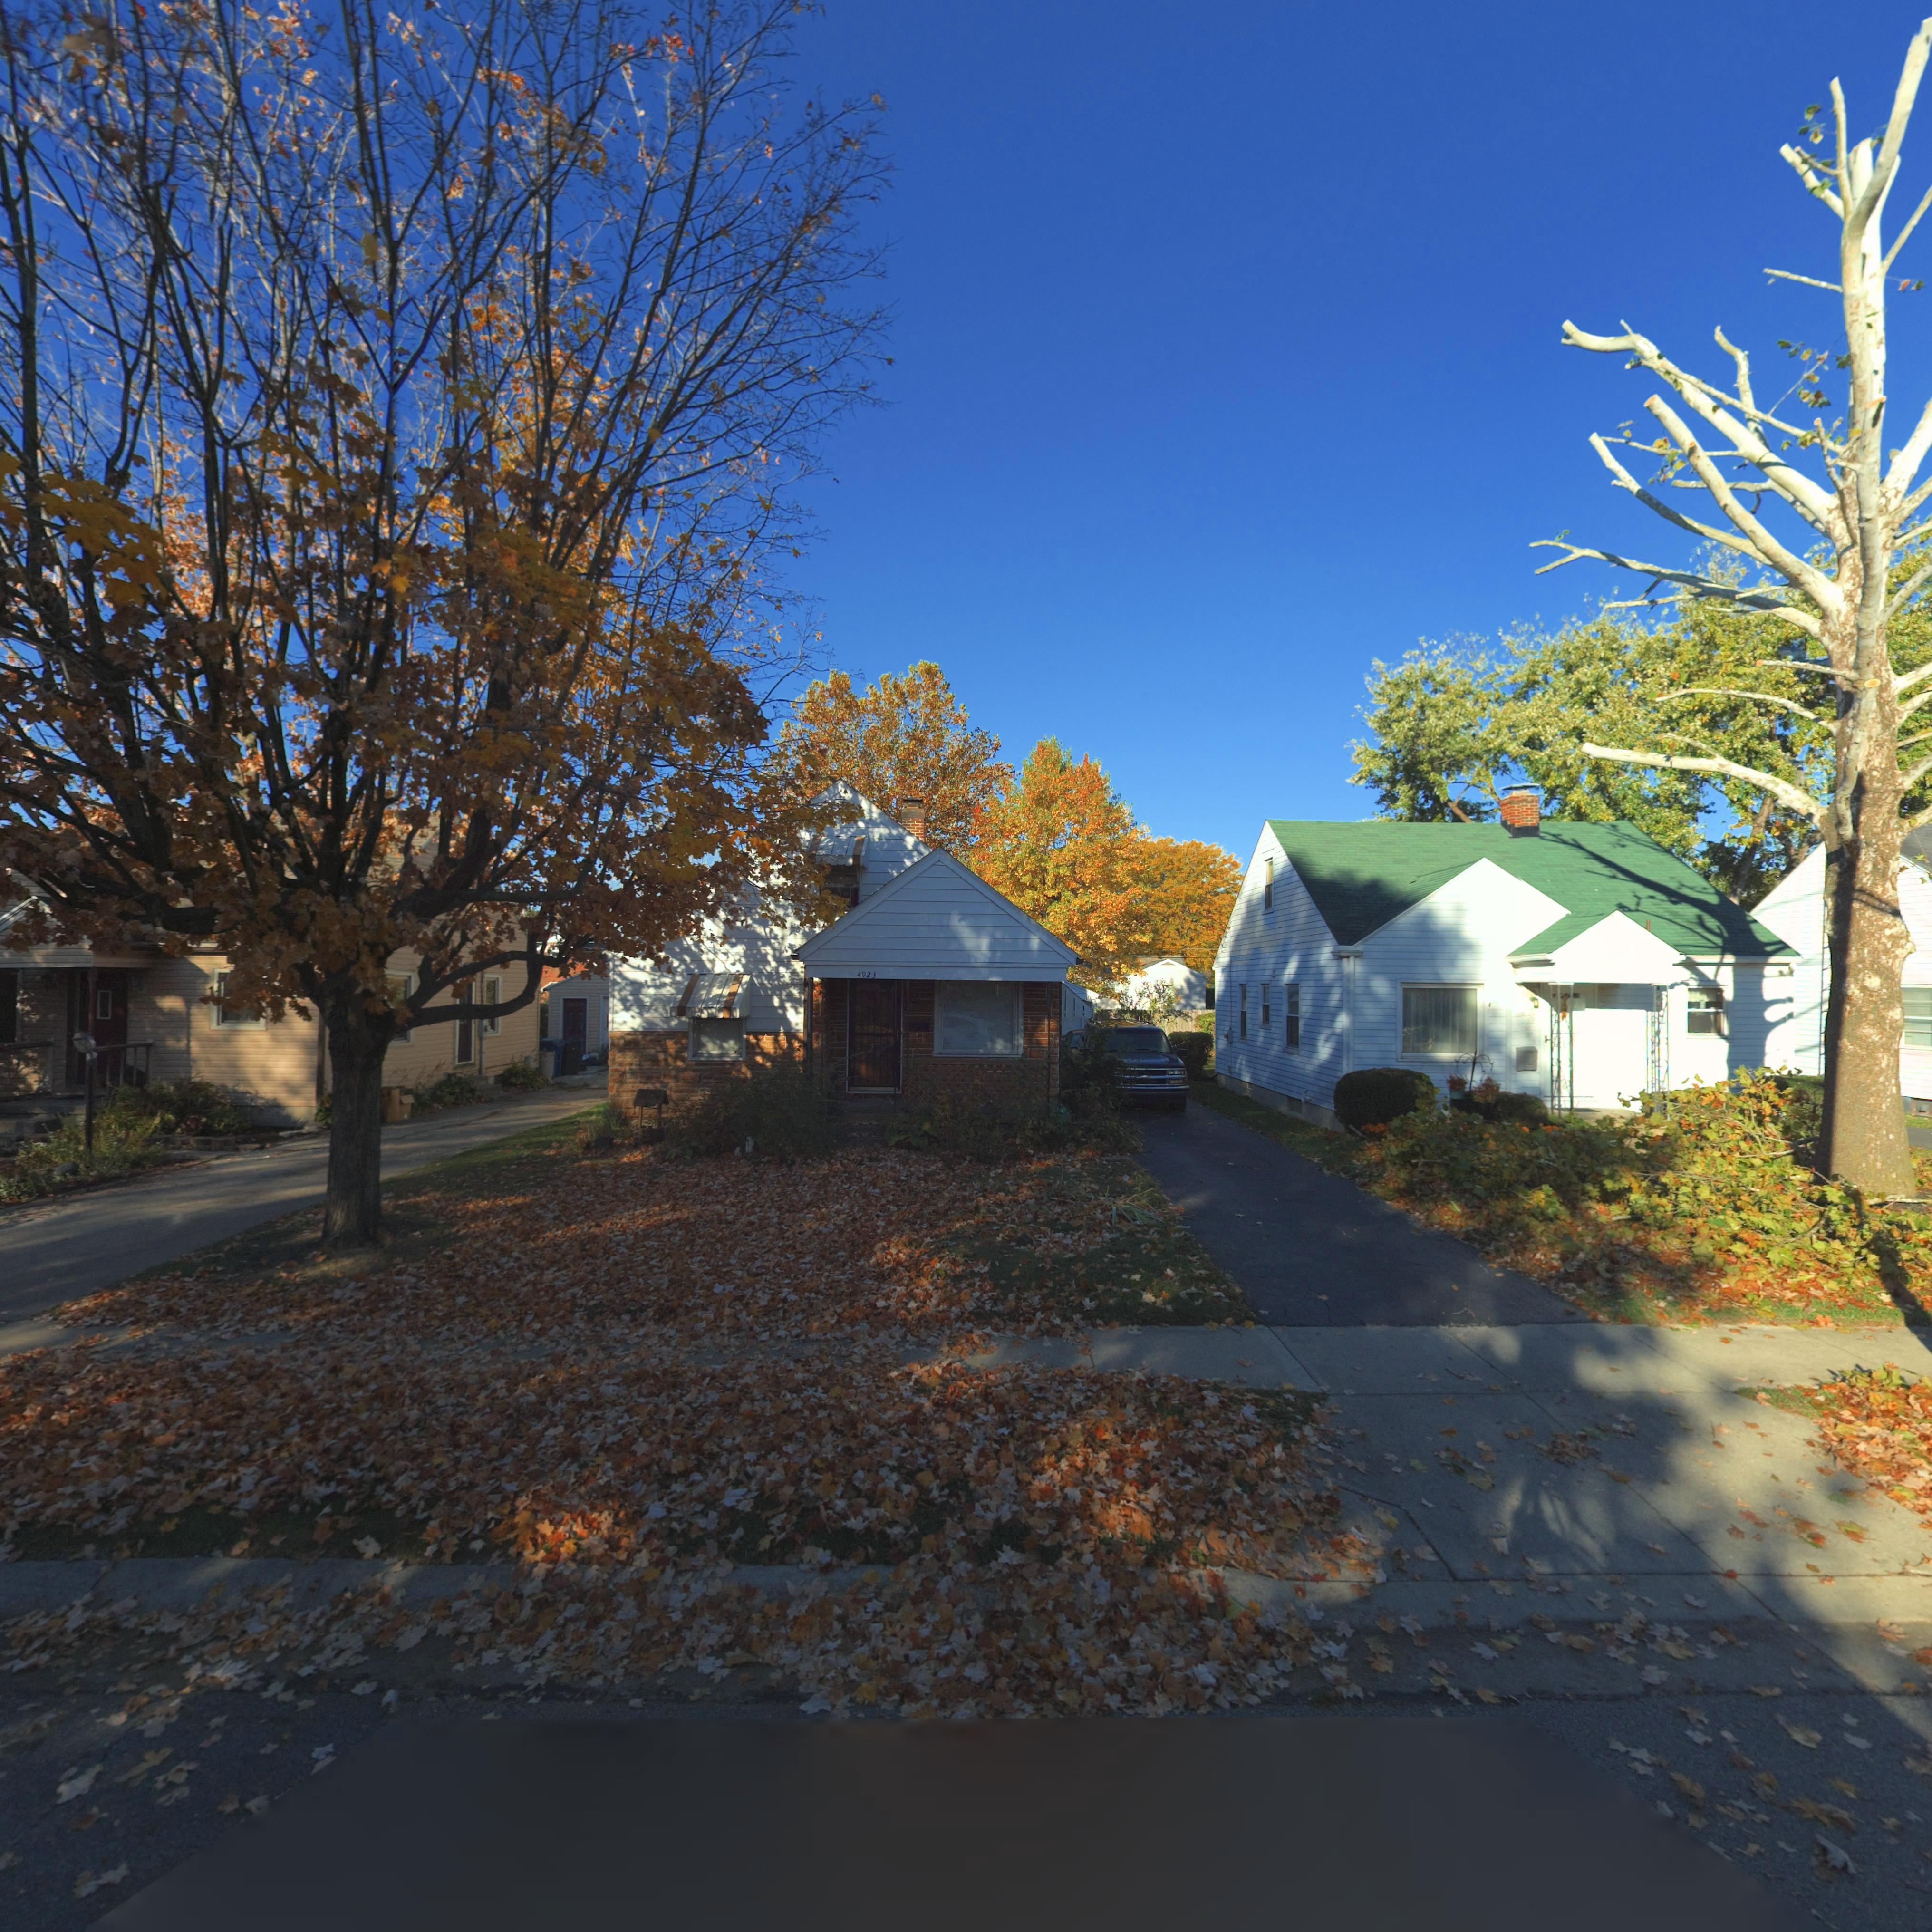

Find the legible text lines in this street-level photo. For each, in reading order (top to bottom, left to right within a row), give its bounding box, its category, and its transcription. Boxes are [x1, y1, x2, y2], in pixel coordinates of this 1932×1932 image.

[857, 971, 876, 978] StreetNumber: 4923